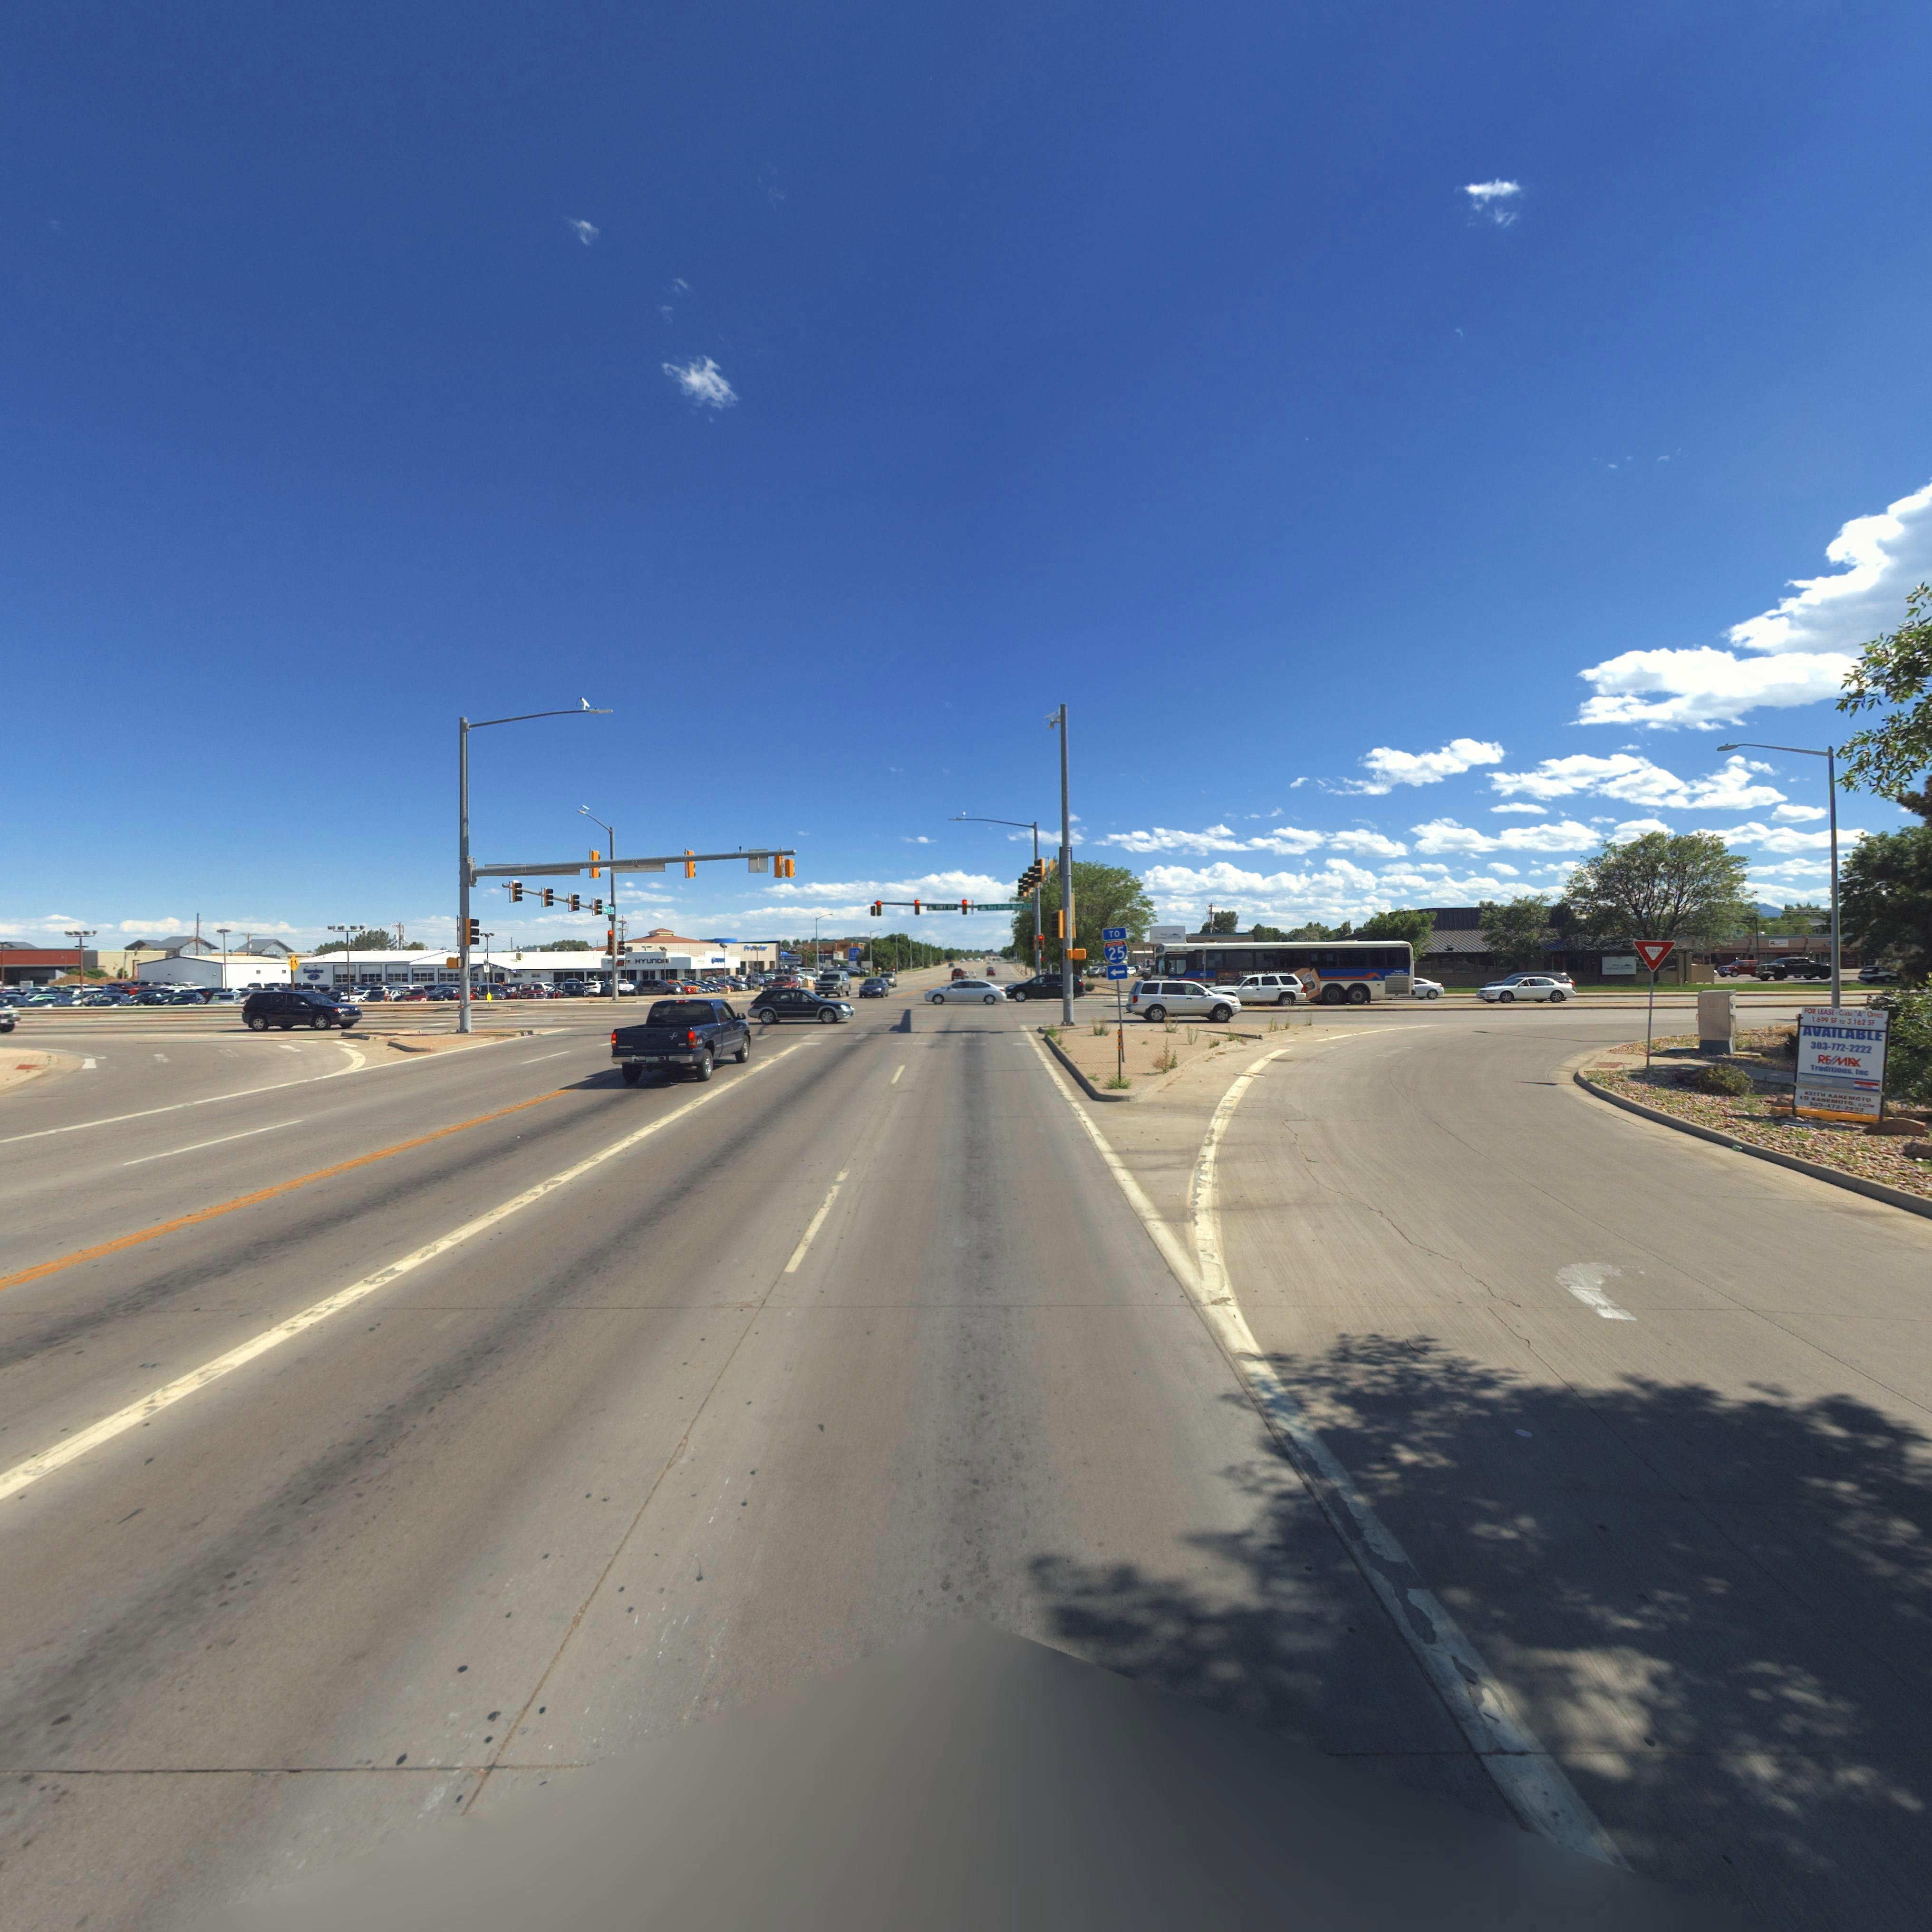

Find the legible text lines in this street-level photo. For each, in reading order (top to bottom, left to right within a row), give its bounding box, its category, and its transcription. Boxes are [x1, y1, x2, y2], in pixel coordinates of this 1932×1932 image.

[935, 904, 955, 909] StreetName: HWY 119
[987, 904, 1023, 910] StreetName: K*n Pr*tt Blvd
[743, 944, 769, 951] BusinessName: Fro*t***
[635, 958, 669, 964] BusinessName: HYUnDAI